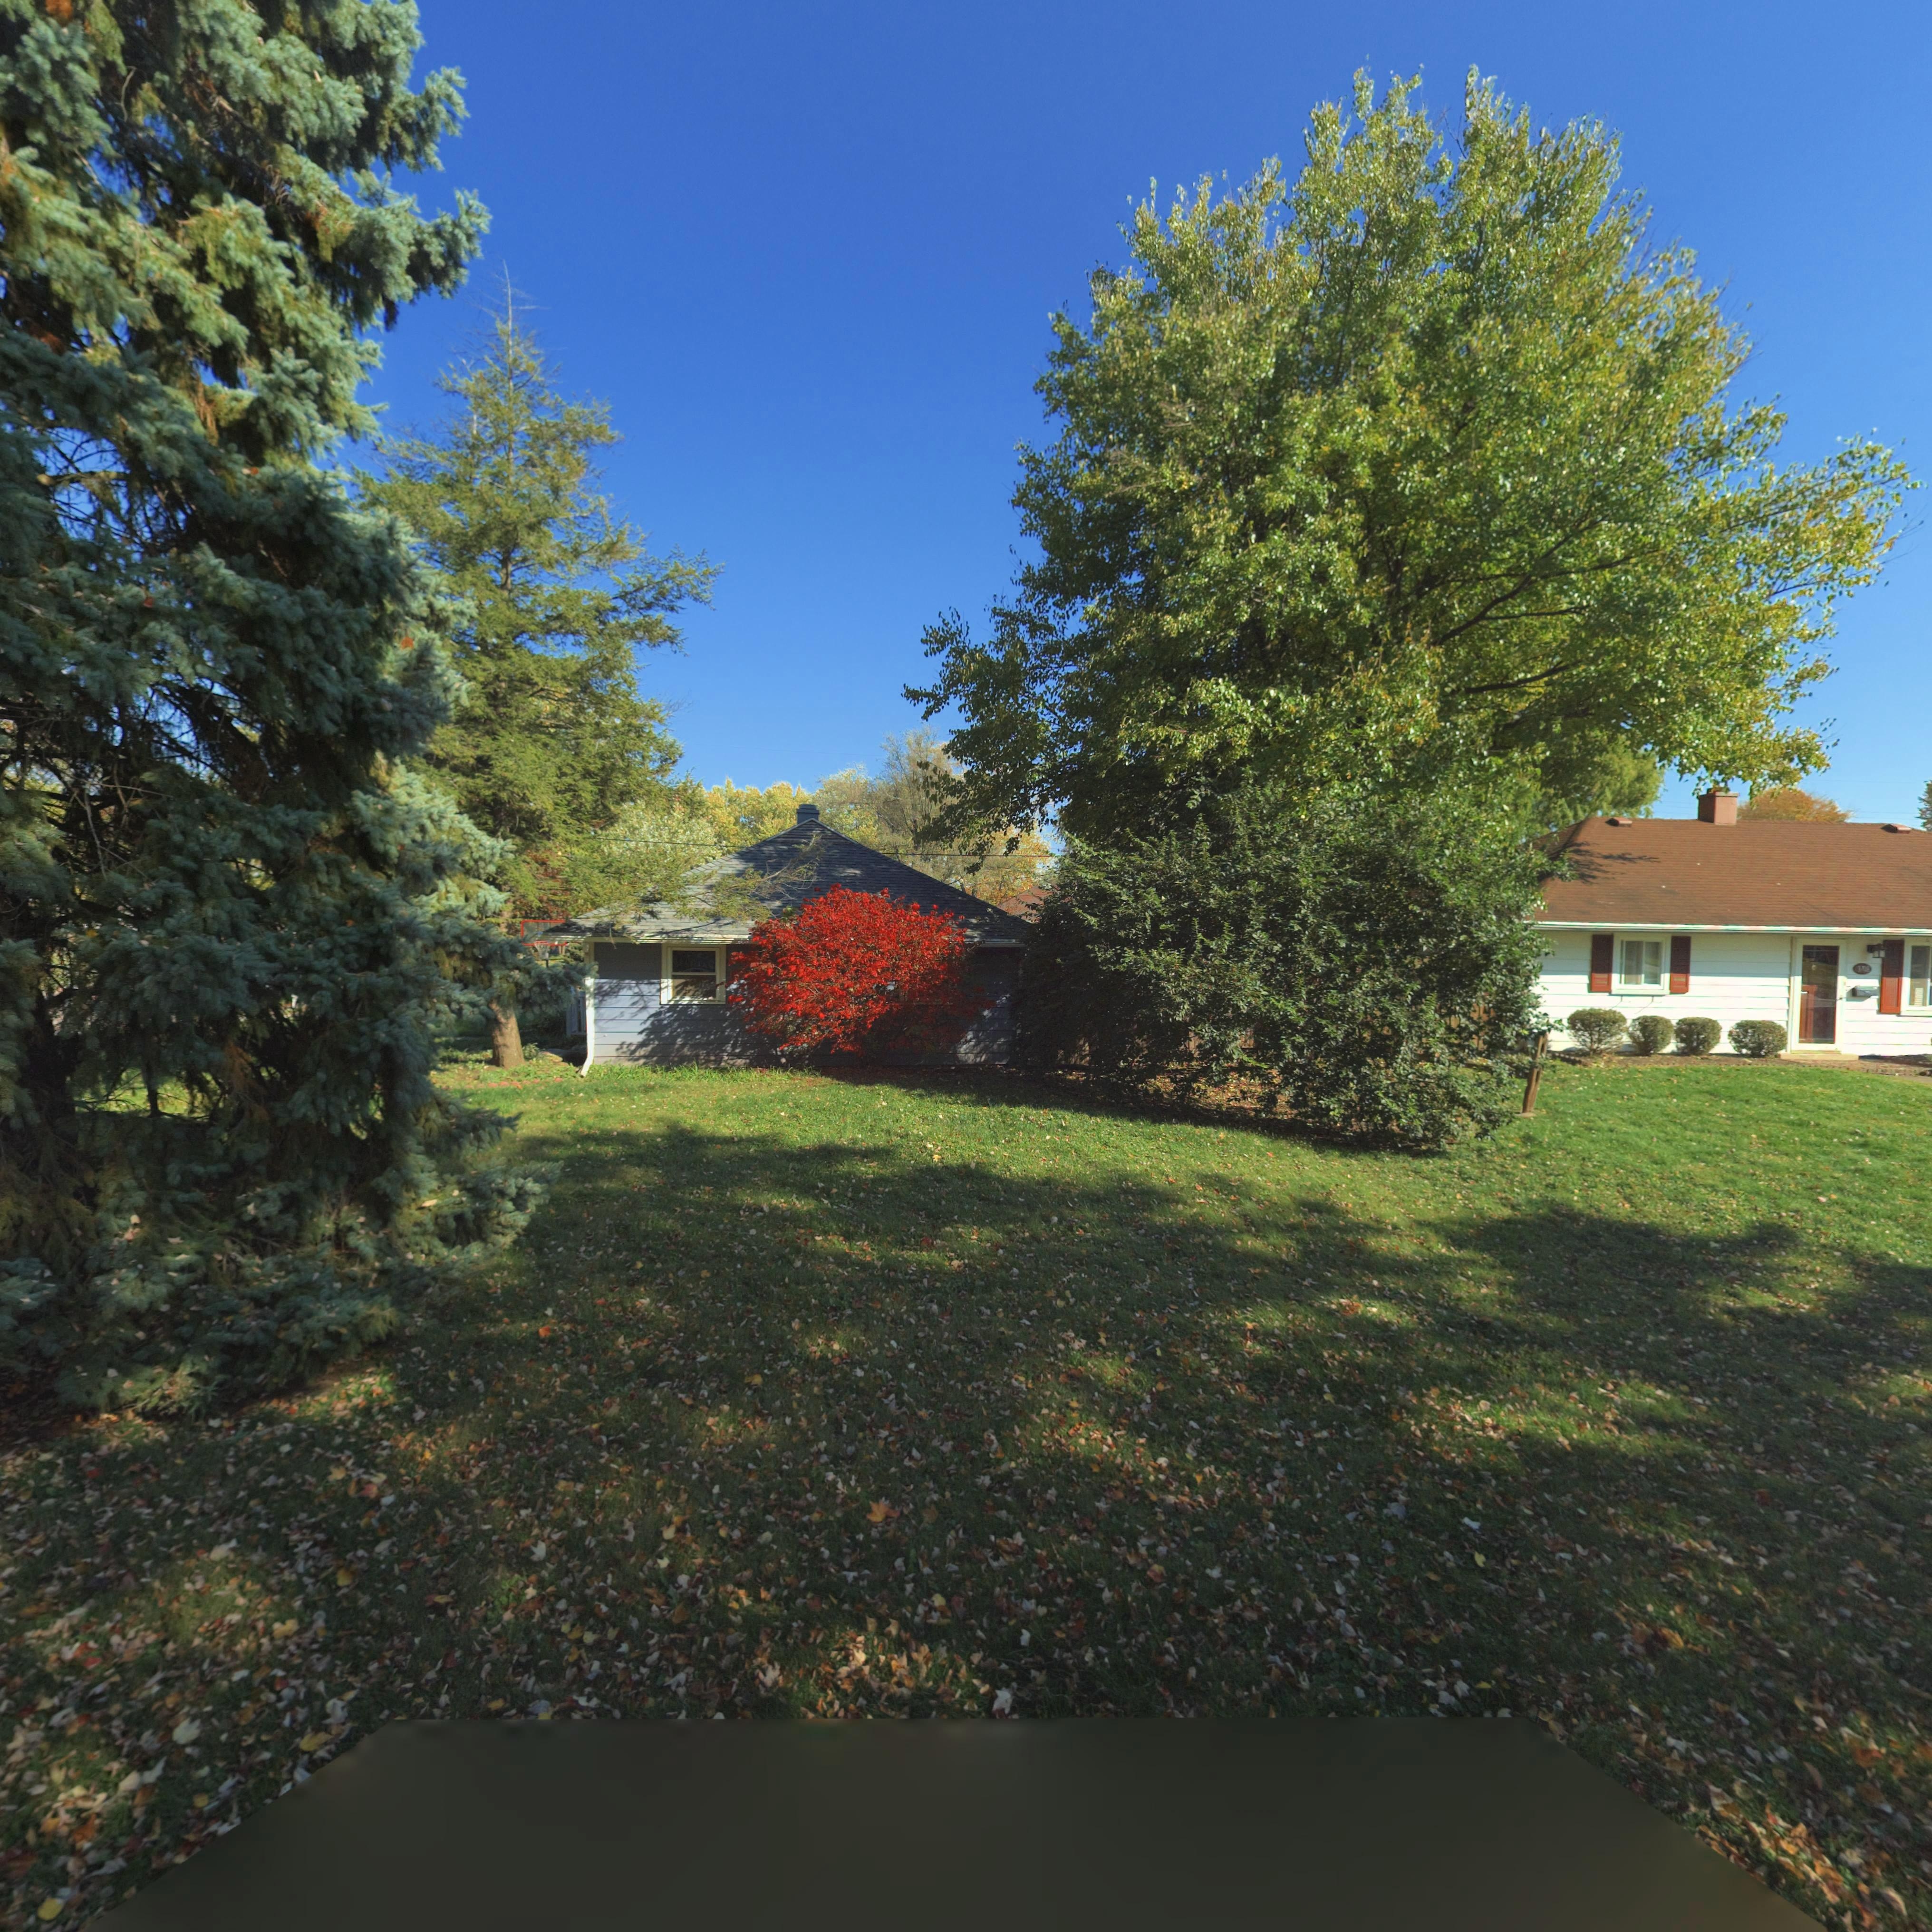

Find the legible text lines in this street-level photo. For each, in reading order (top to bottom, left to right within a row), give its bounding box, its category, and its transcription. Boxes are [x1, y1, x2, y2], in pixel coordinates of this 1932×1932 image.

[1856, 965, 1870, 972] StreetNumber: 3708